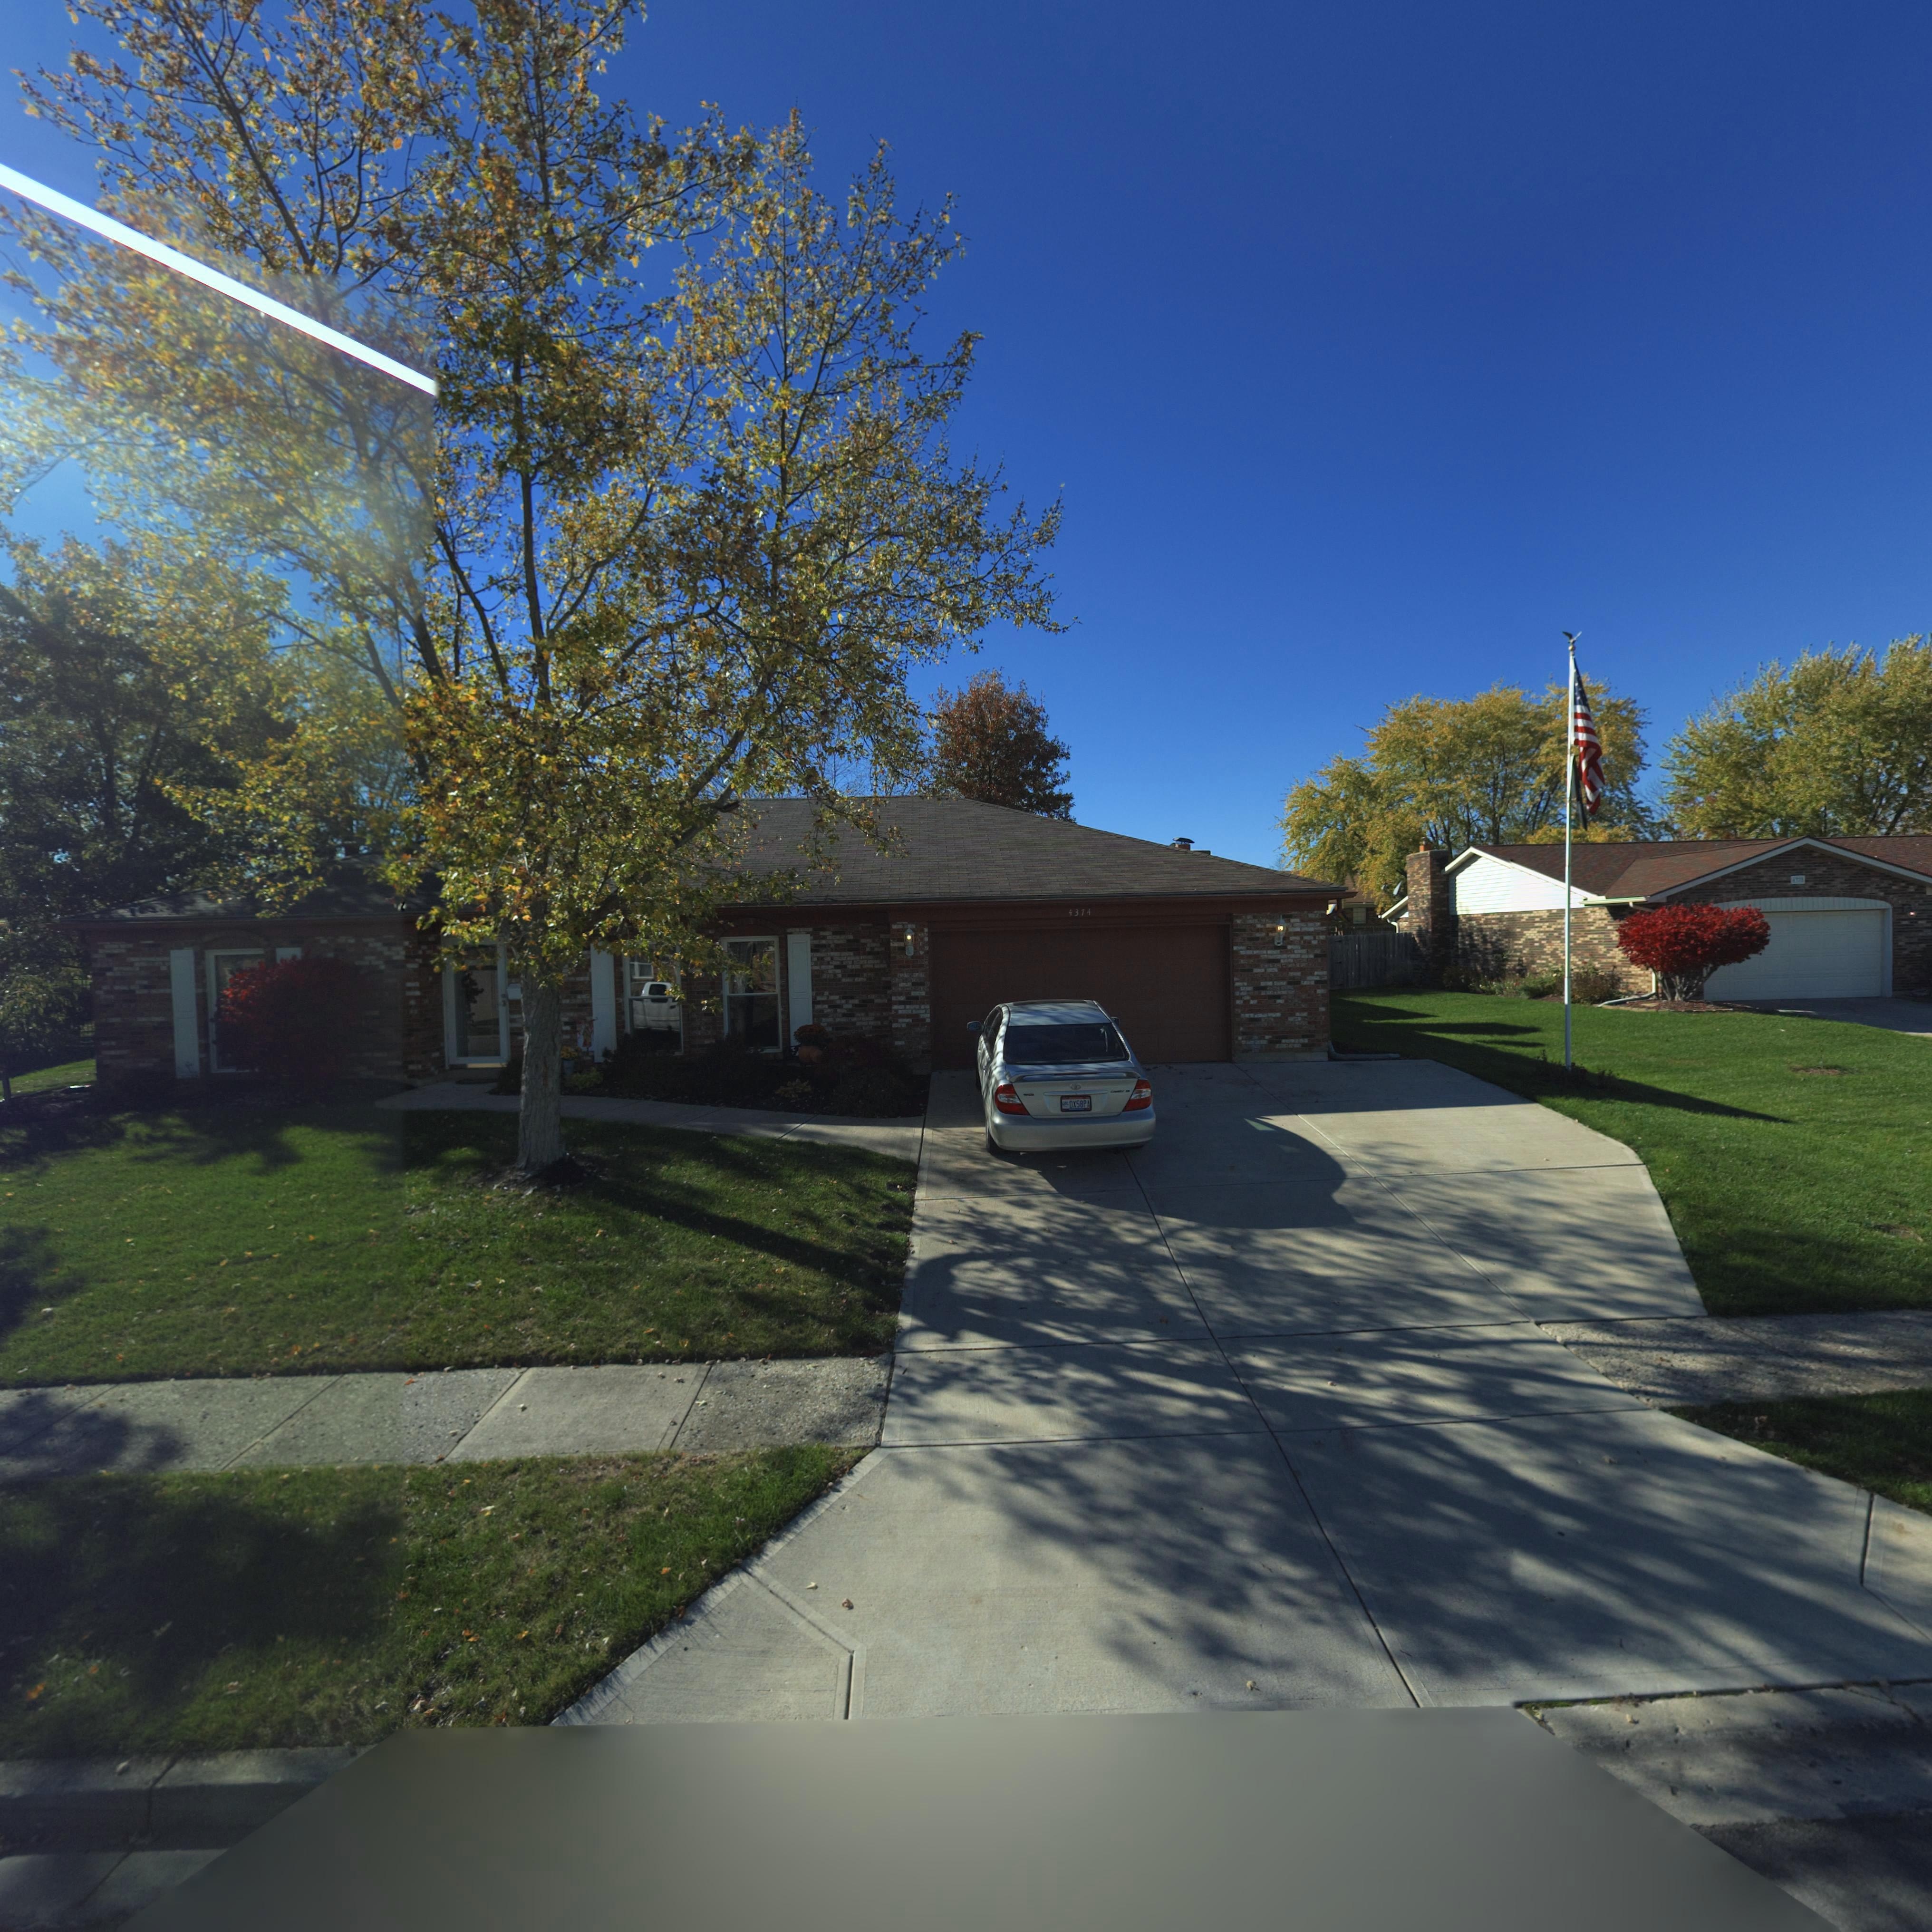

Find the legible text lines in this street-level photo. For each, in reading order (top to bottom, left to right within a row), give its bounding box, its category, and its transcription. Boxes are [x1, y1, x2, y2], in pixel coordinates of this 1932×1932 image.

[1791, 876, 1805, 884] StreetNumber: 4***
[1067, 908, 1091, 917] StreetNumber: 4374